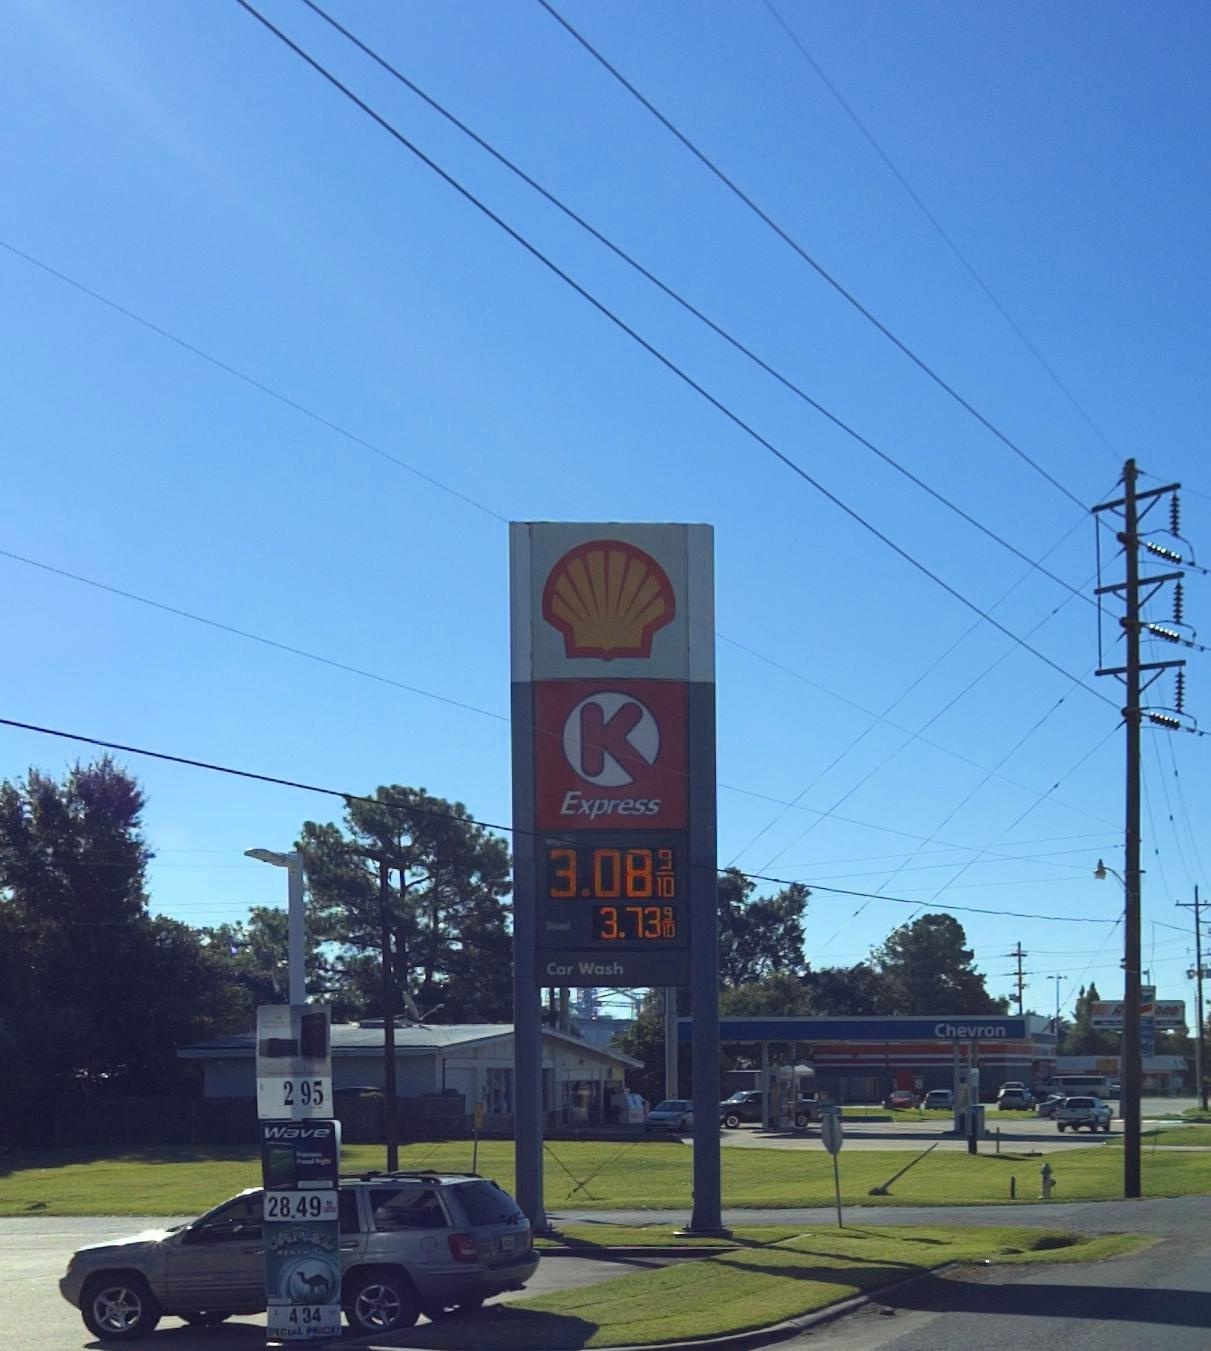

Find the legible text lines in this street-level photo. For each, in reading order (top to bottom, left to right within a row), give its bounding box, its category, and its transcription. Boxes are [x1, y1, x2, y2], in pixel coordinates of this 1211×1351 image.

[577, 701, 652, 778] BusinessName: K
[558, 790, 662, 821] BusinessName: Express
[549, 847, 676, 899] None: 3.08 9/10
[546, 919, 571, 932] None: Diesel
[599, 906, 676, 940] None: 3.73 9/10
[545, 961, 624, 976] None: Car Wash
[1110, 1003, 1124, 1017] BusinessName: A
[1154, 1005, 1180, 1017] BusinessName: one
[933, 1022, 1007, 1038] BusinessName: Chevron
[283, 1080, 324, 1106] None: 295
[263, 1125, 332, 1139] None: Wave
[266, 1194, 322, 1218] None: 28.49
[263, 1225, 336, 1253] None: **M*L
[287, 1306, 323, 1325] None: 4.34
[267, 1325, 341, 1338] None: ***CIAL PR*C*!